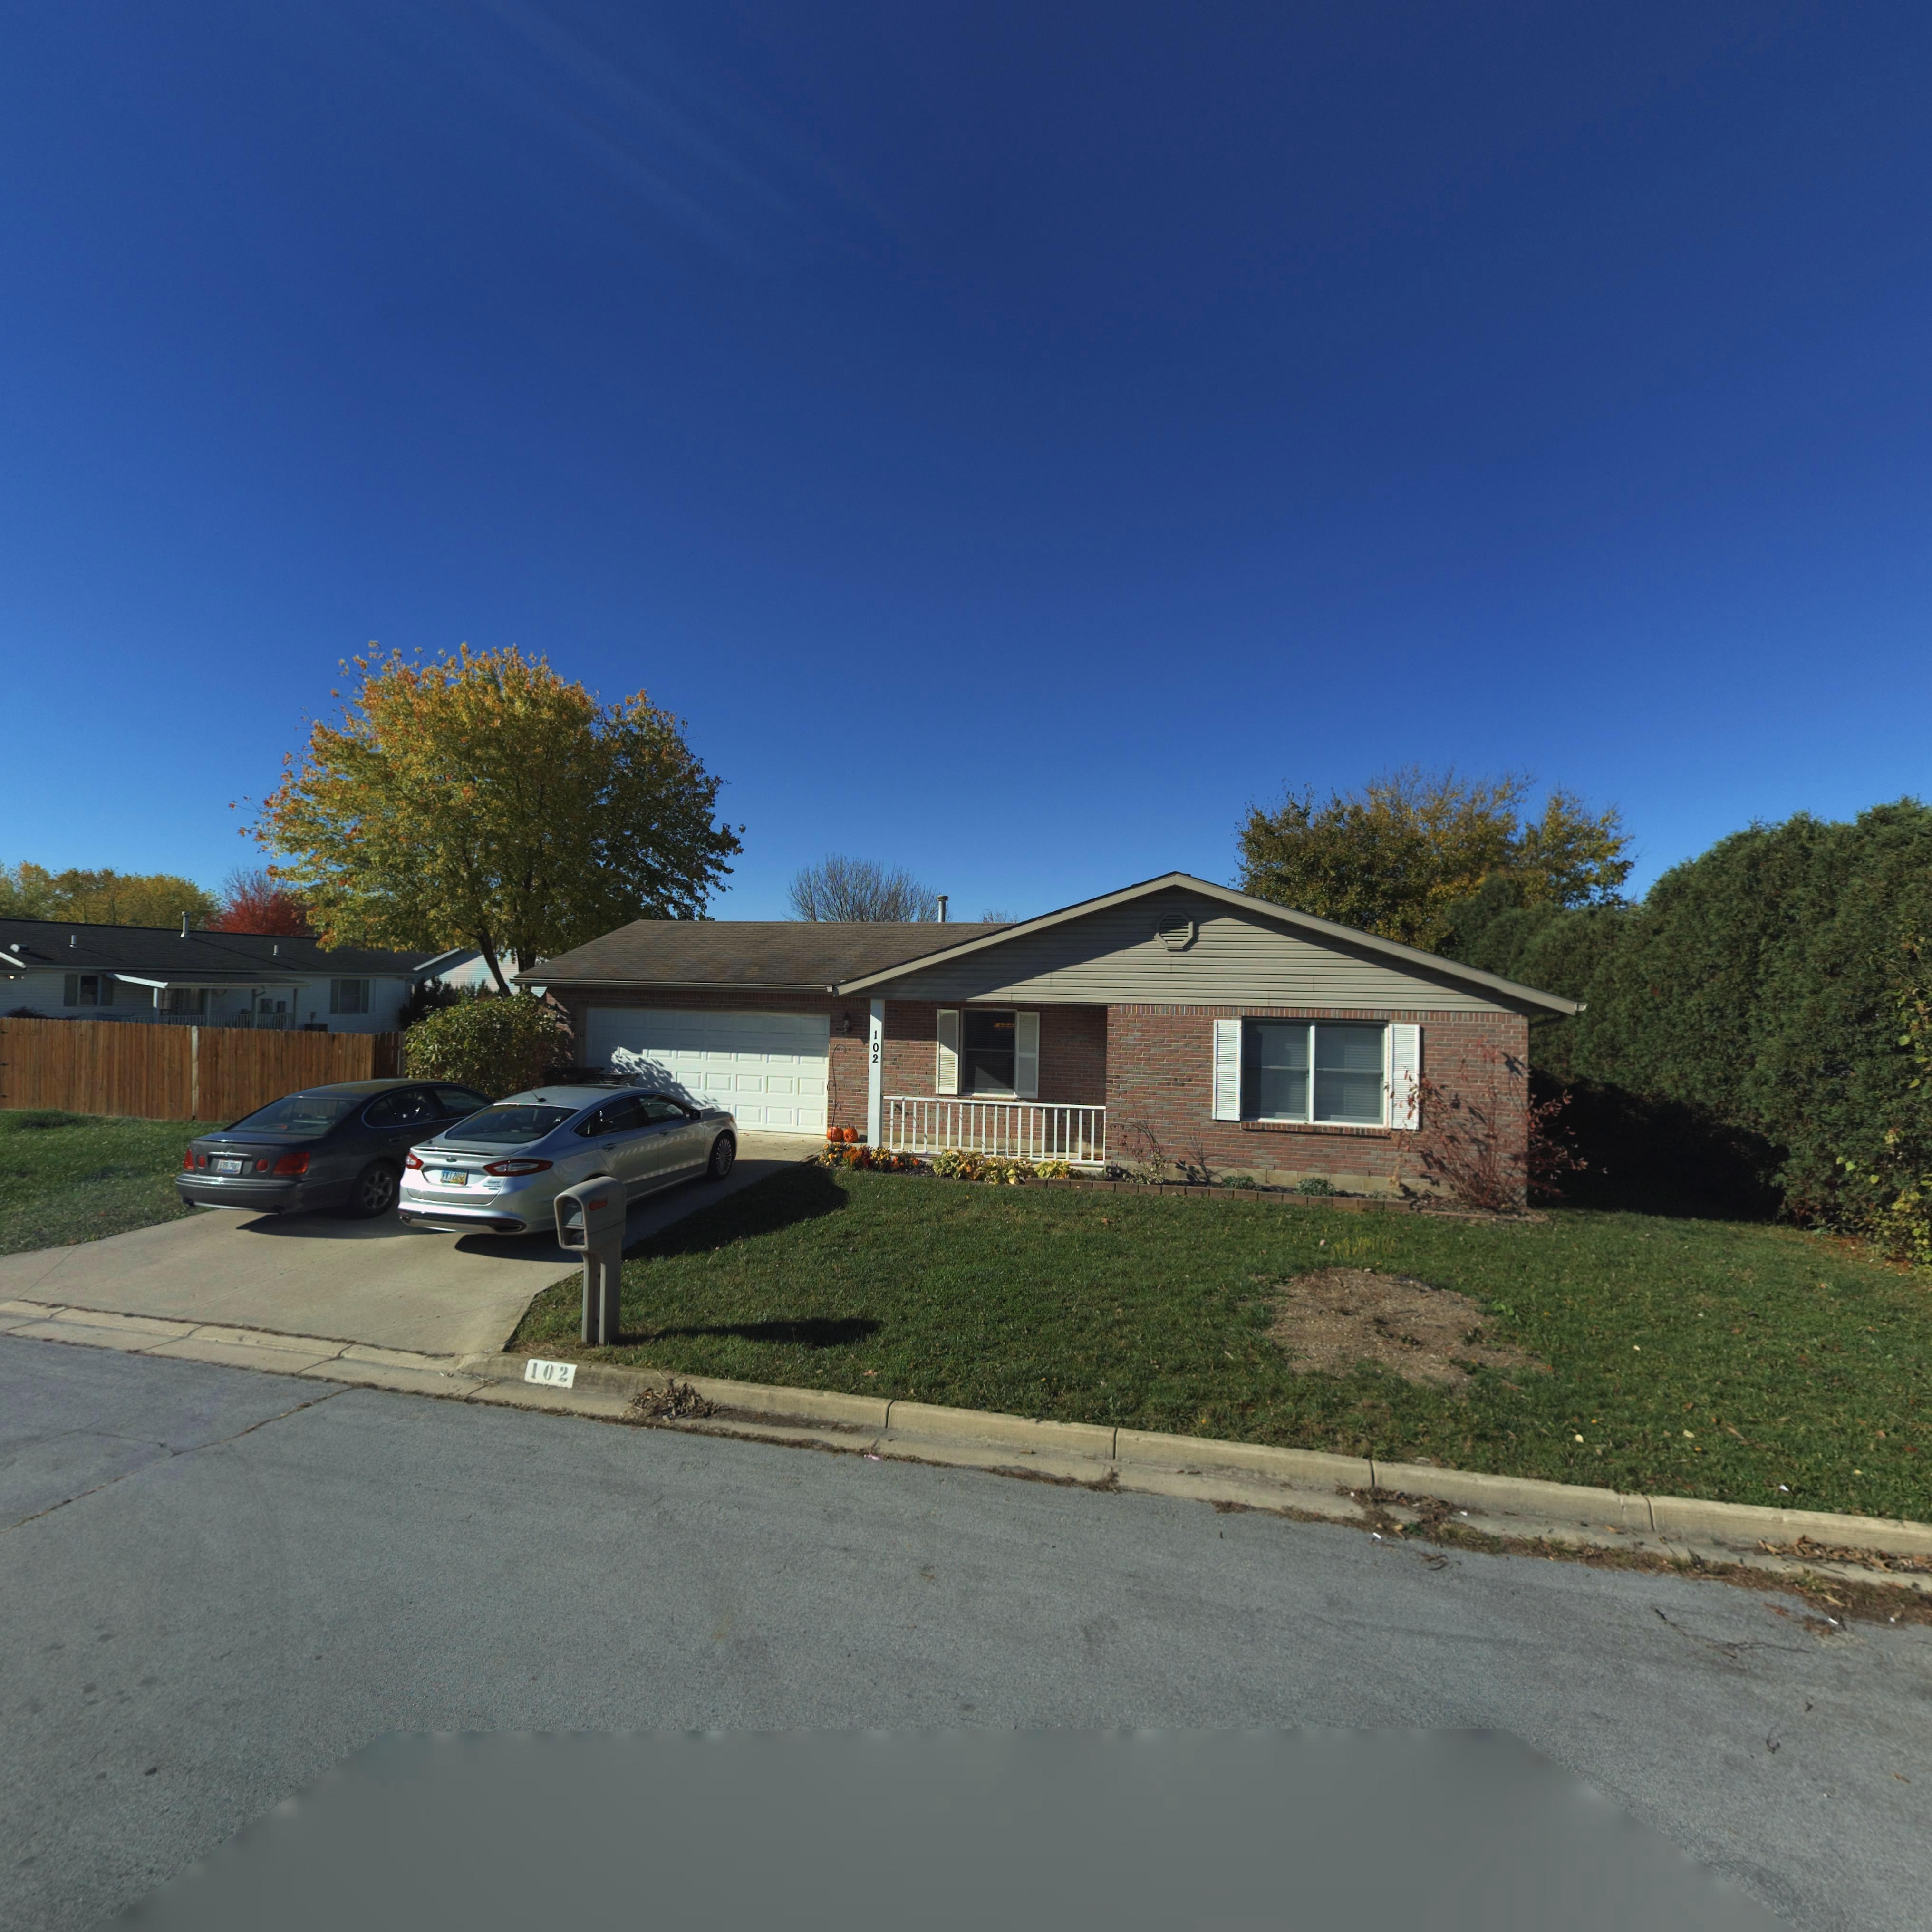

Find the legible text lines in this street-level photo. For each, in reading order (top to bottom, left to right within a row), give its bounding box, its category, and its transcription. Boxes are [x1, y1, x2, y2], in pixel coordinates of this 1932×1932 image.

[871, 1029, 879, 1064] StreetNumber: 102
[529, 1361, 571, 1384] StreetNumber: 102